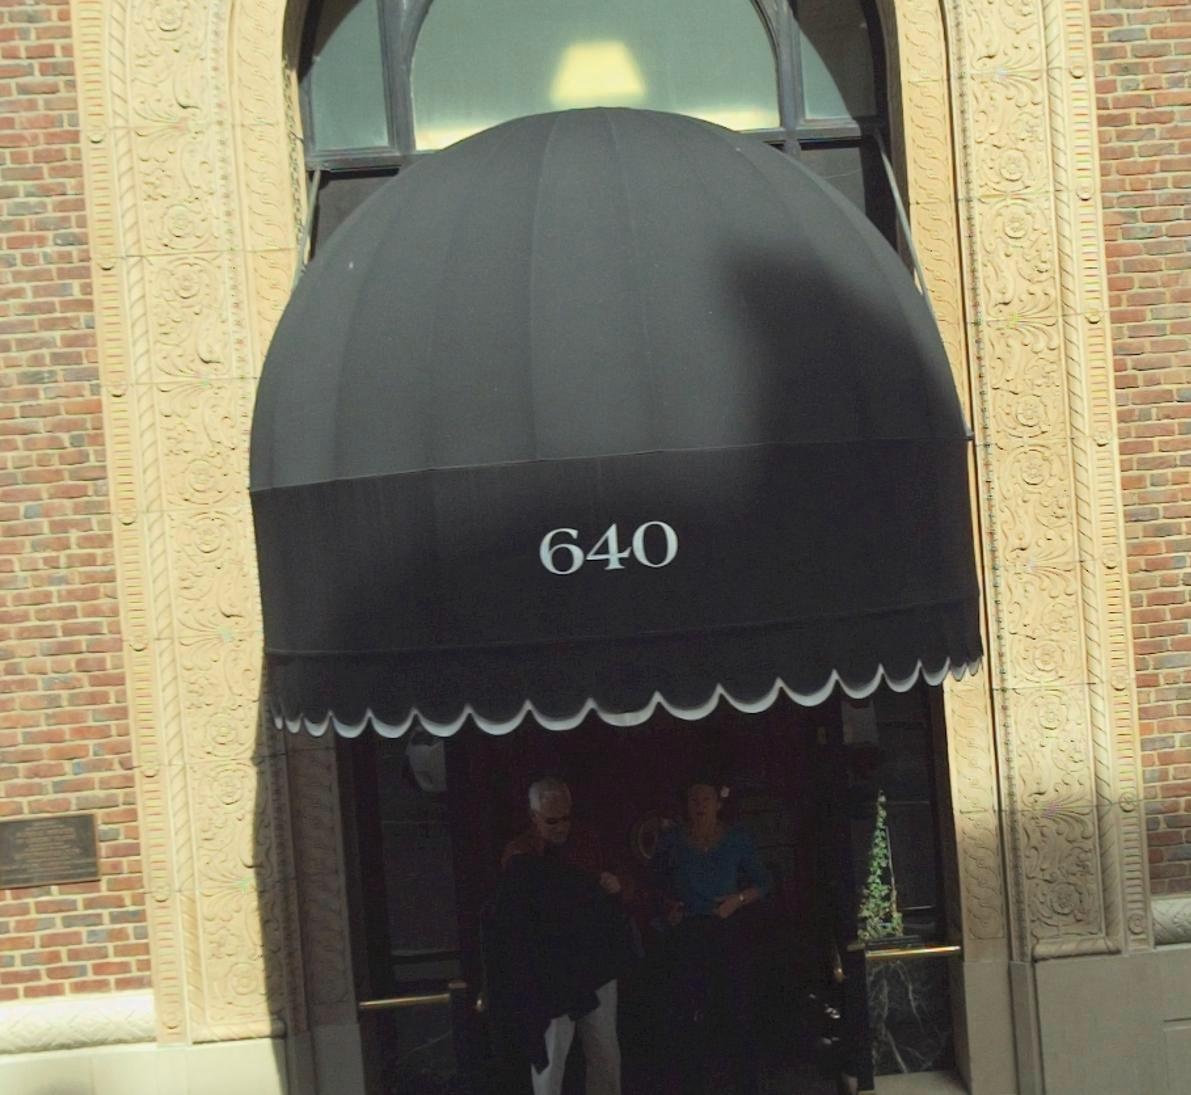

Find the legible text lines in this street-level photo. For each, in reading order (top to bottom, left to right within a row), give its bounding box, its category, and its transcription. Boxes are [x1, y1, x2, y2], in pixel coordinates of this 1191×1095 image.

[529, 514, 686, 581] StreetNumber: 640